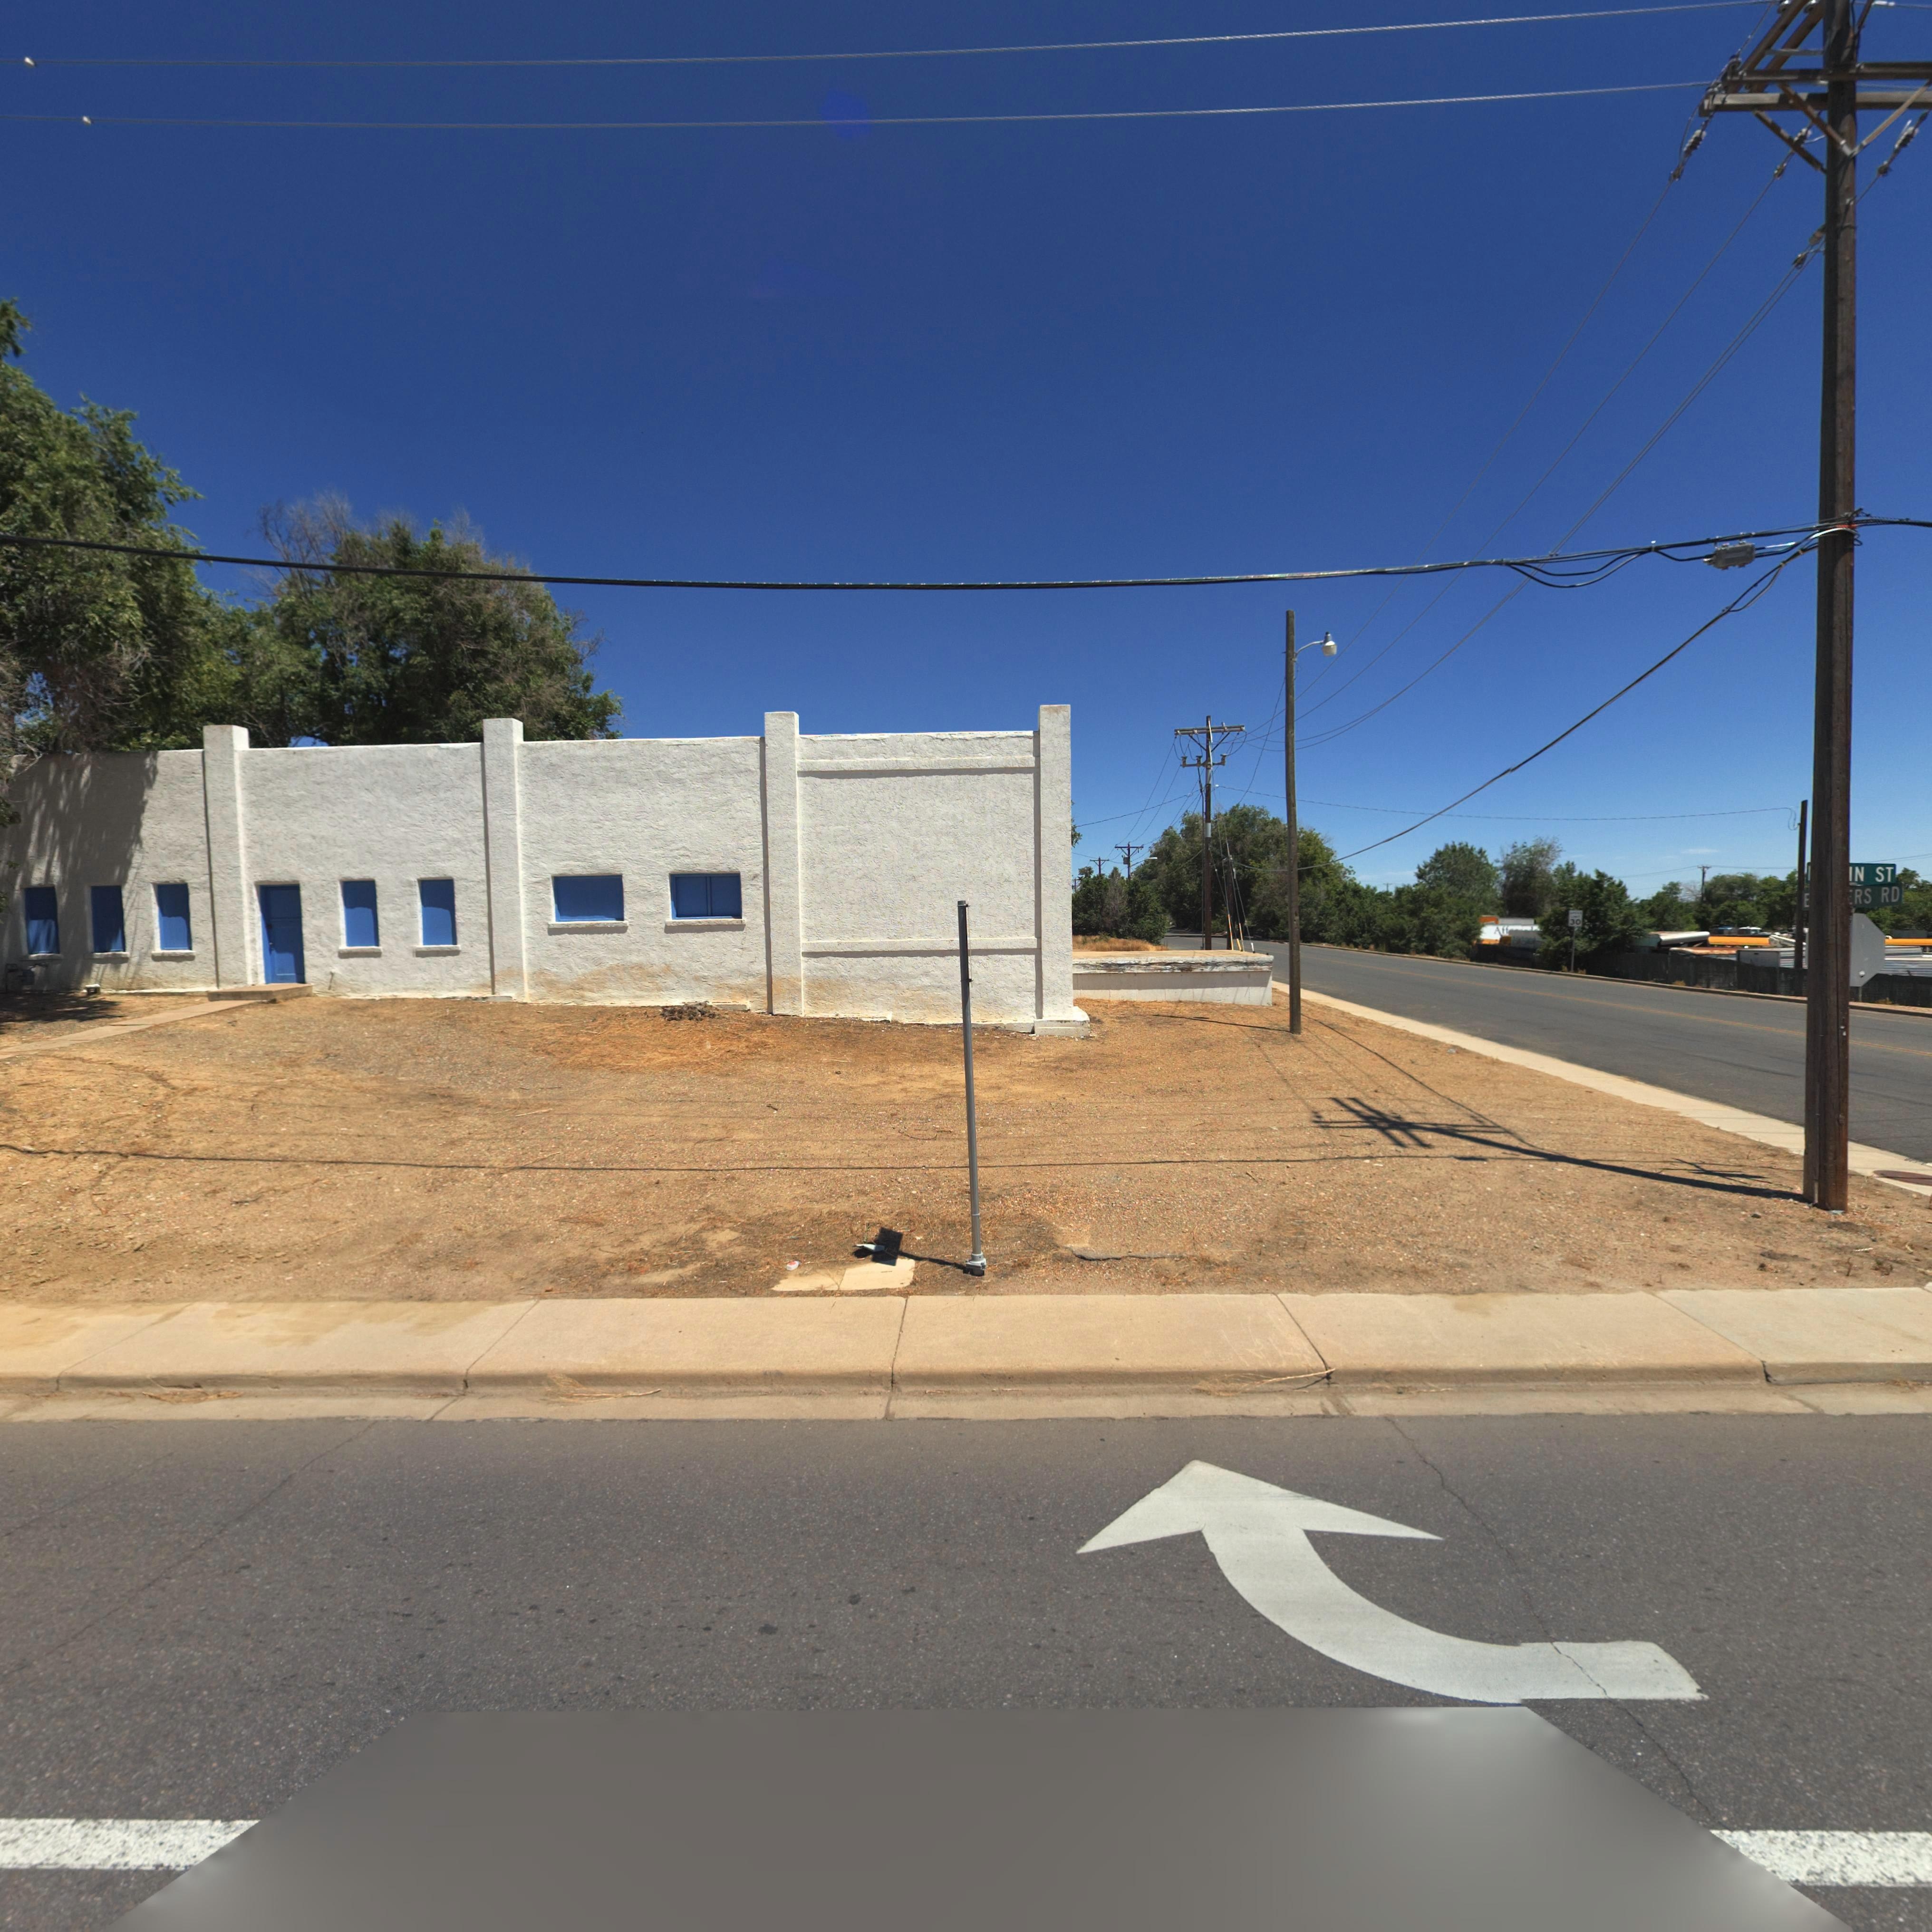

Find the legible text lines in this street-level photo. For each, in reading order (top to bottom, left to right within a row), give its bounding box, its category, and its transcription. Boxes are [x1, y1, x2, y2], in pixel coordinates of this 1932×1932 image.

[1806, 864, 1895, 883] StreetName: ****IN ST
[1802, 884, 1900, 908] StreetName: E ****RS RD